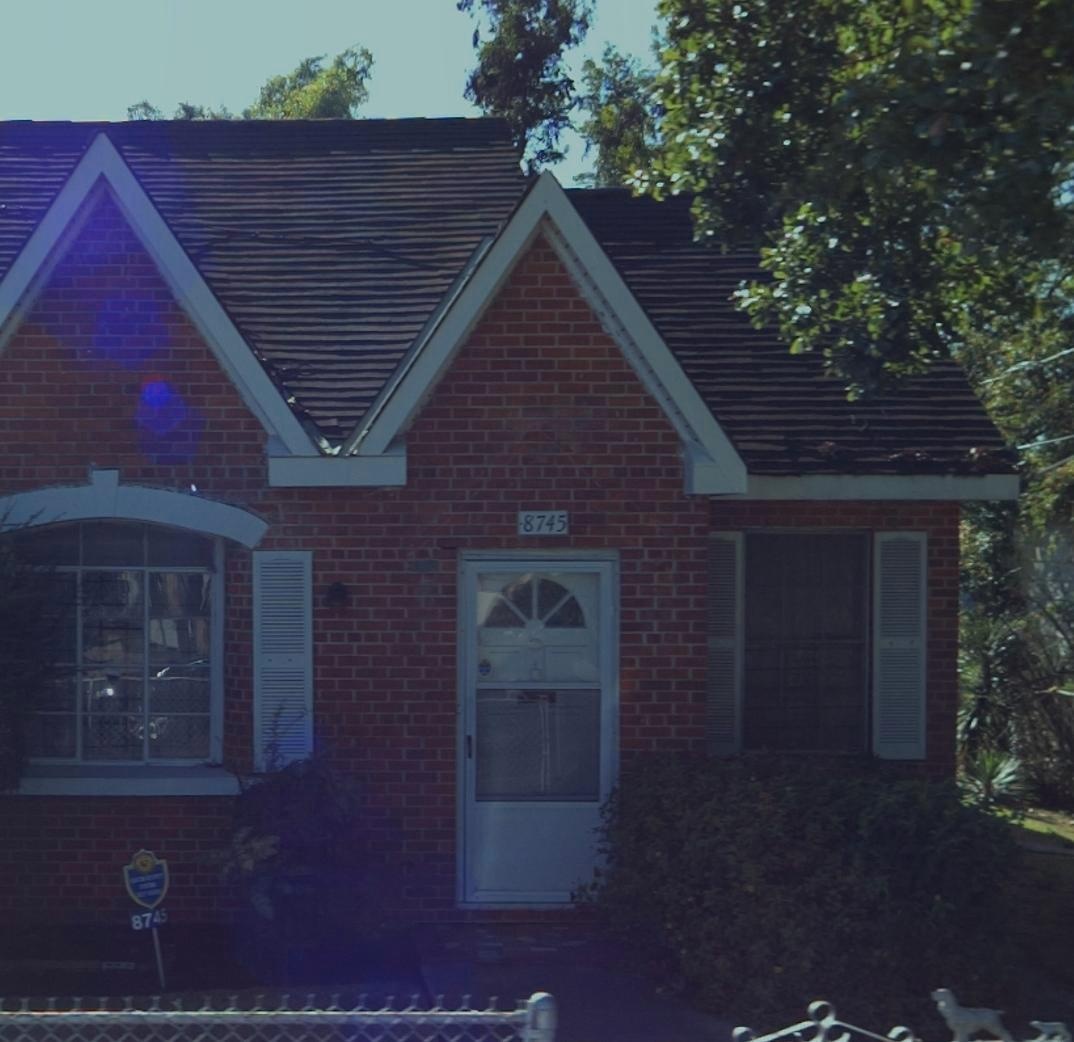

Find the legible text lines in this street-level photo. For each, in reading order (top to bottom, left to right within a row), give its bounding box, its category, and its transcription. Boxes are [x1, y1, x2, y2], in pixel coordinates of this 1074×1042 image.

[522, 514, 568, 534] StreetNumber: 8745
[128, 905, 171, 933] StreetNumber: 8745